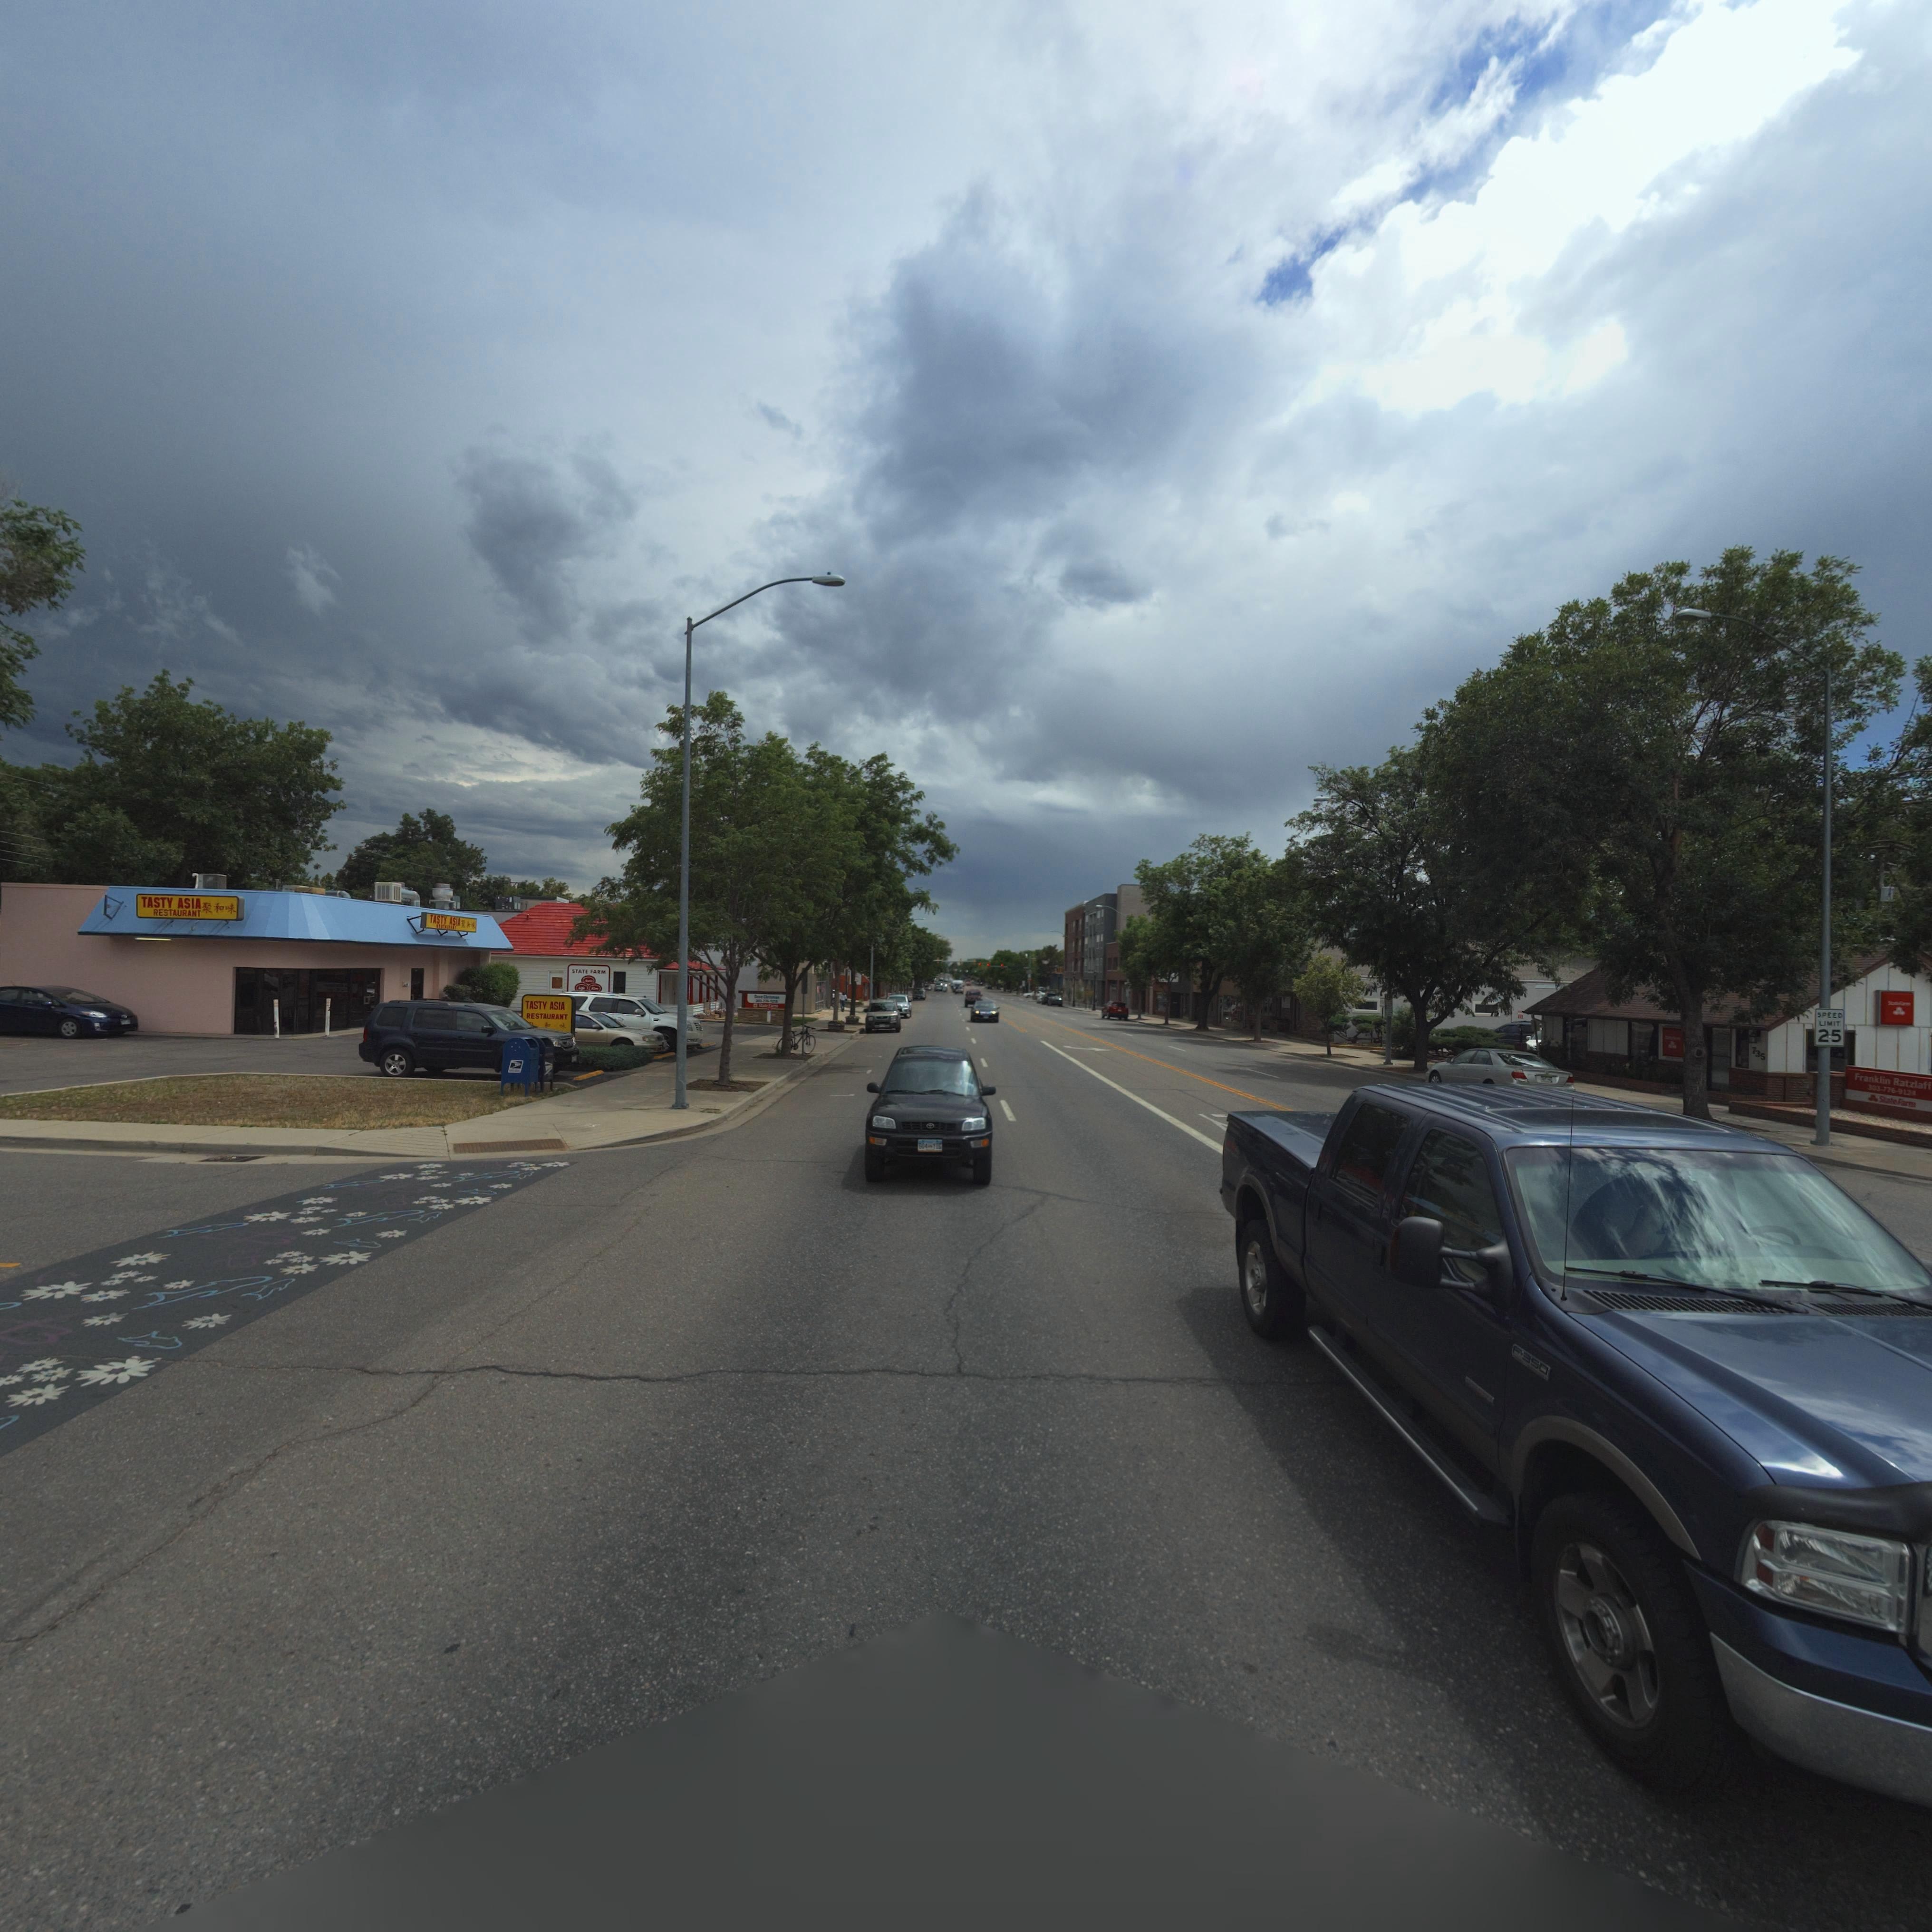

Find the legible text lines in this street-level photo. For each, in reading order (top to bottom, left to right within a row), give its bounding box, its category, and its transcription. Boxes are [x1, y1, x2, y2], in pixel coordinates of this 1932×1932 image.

[141, 897, 201, 909] BusinessName: TASTY ASIA
[153, 908, 201, 917] BusinessName: RESTAURANT
[430, 914, 460, 926] BusinessName: TASTY ASIA
[525, 1000, 565, 1010] BusinessName: TASTY ASIA
[758, 1004, 778, 1007] BusinessName: StateFarm
[1887, 1000, 1911, 1005] BusinessName: S****F***
[526, 1013, 568, 1020] BusinessName: RESTAURANT
[1751, 1047, 1765, 1060] StreetNumber: 735
[1879, 1096, 1916, 1108] BusinessName: StateFarm